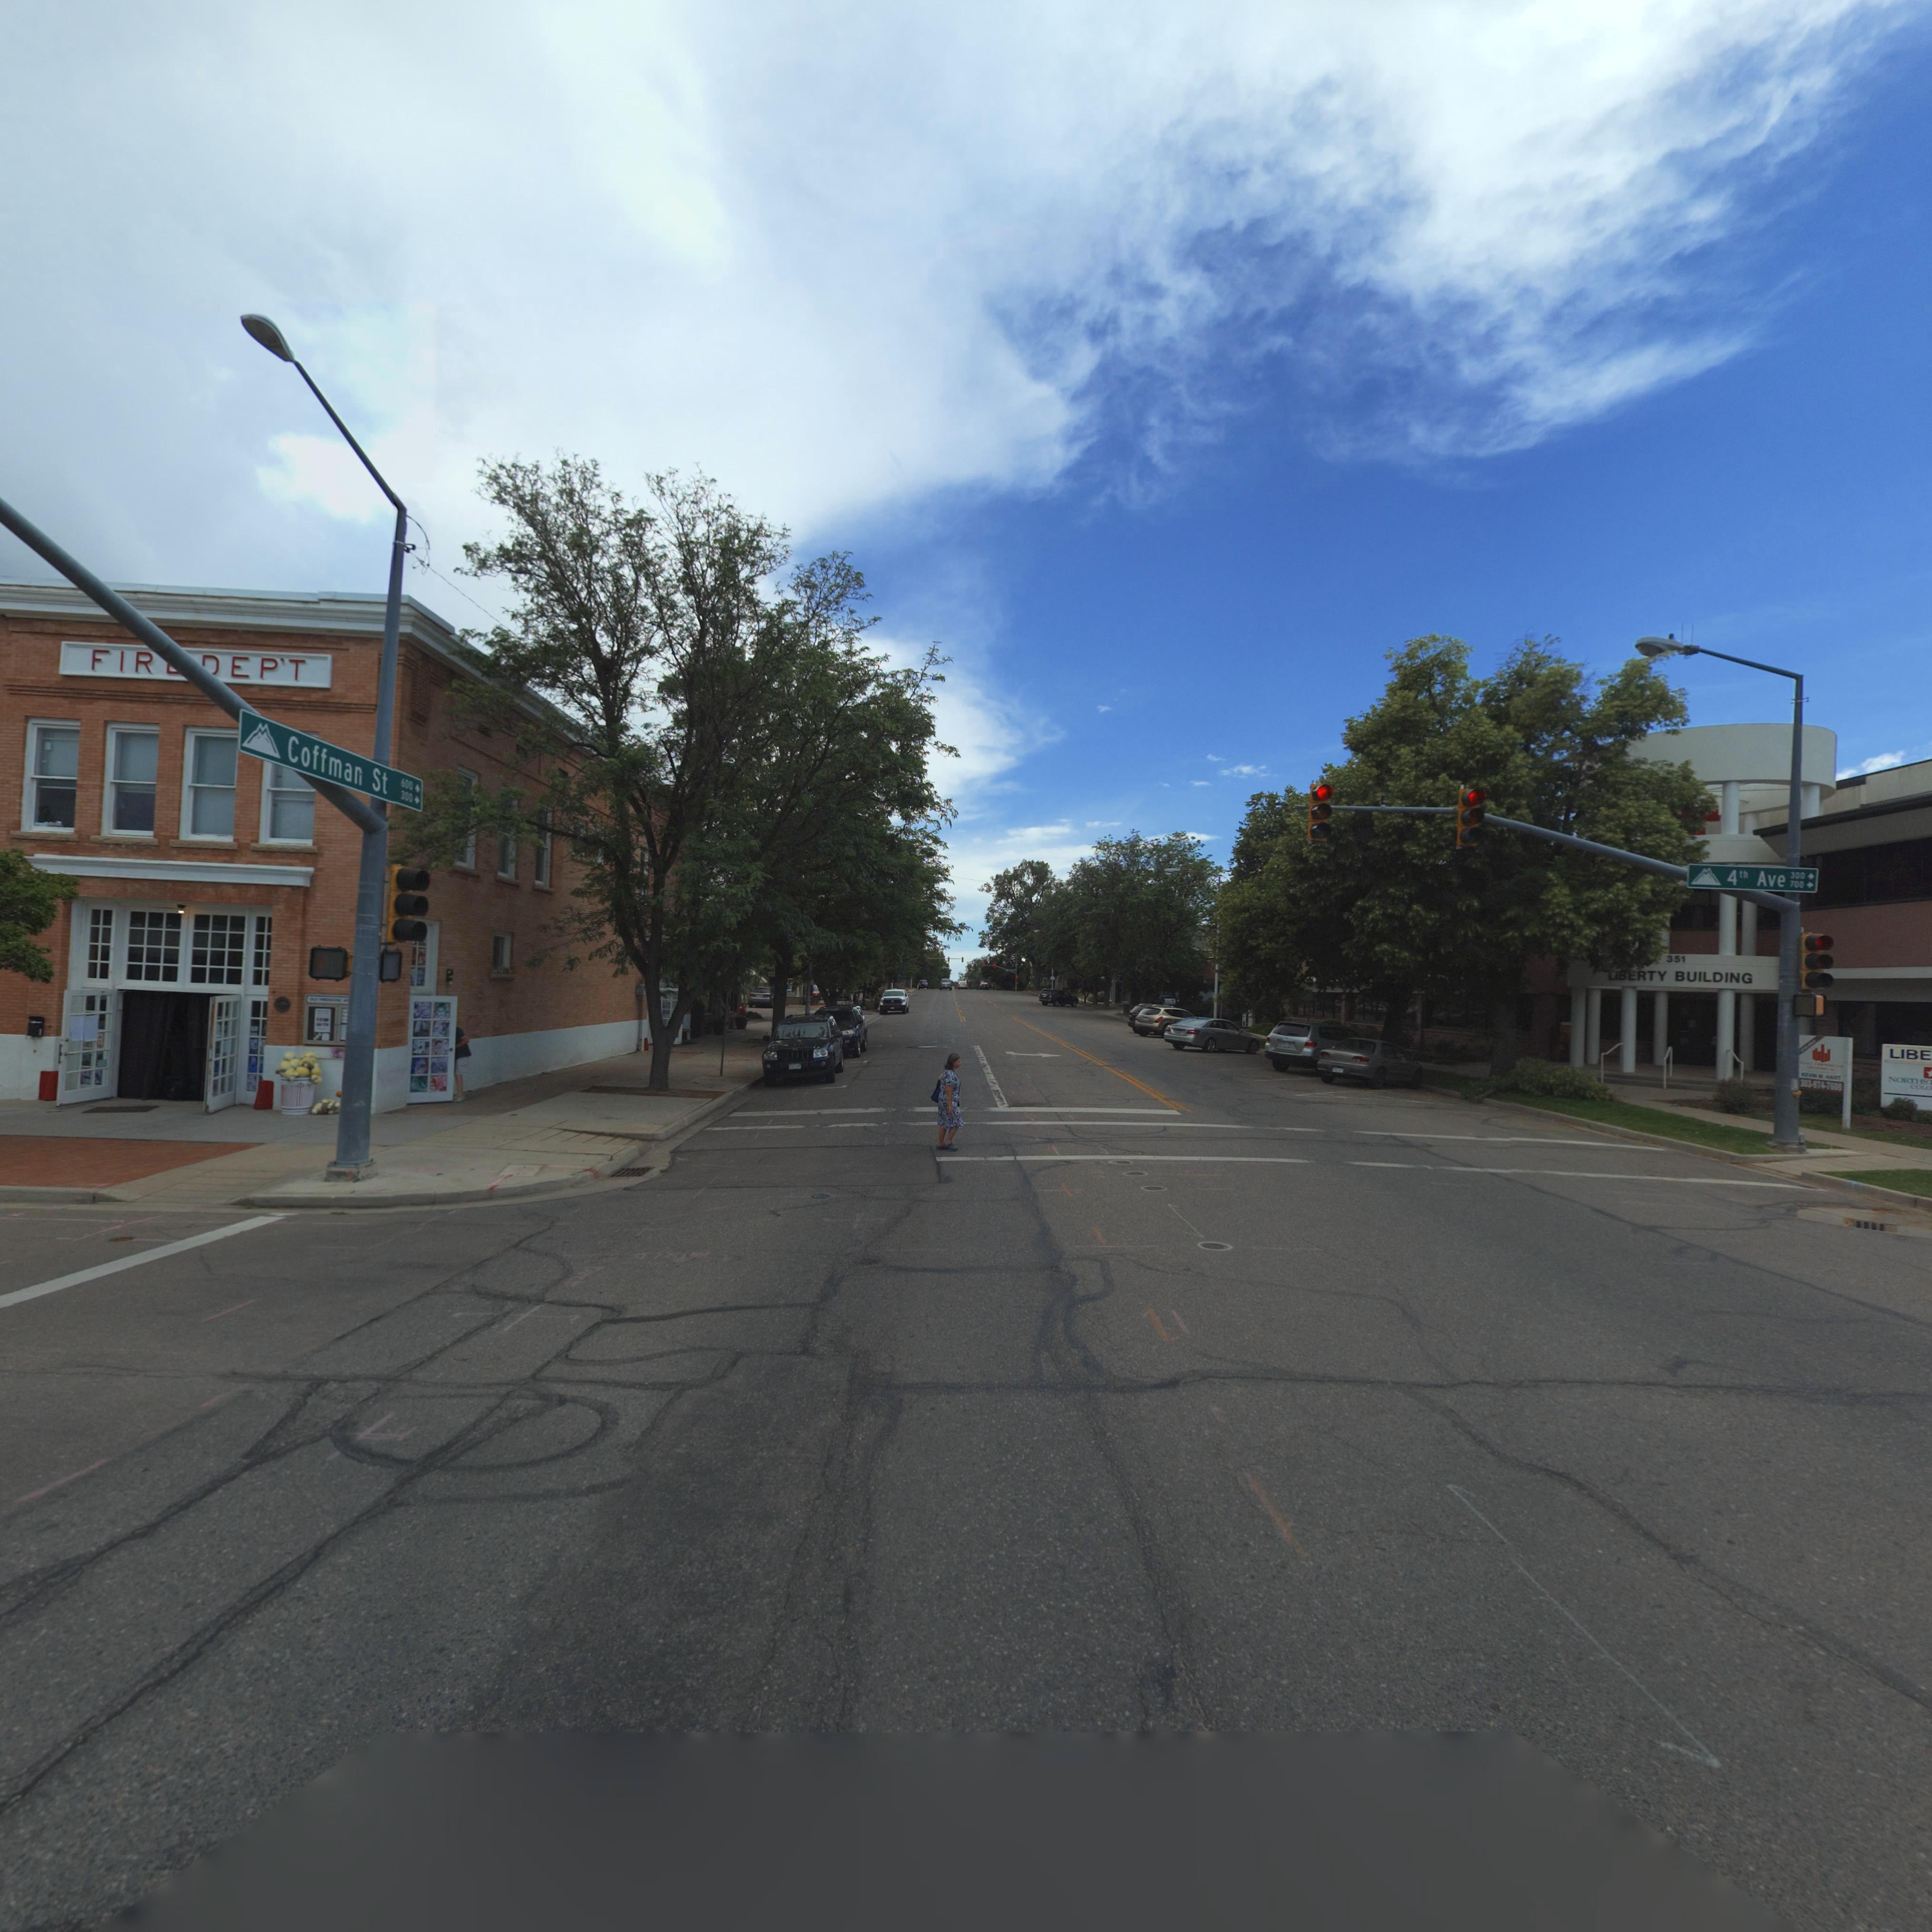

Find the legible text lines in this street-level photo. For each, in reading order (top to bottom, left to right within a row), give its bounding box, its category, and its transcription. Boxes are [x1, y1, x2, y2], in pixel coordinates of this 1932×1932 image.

[288, 736, 387, 794] StreetName: Coffman St
[401, 778, 413, 791] StreetNumber: 600
[400, 790, 420, 804] StreetNumberRange: 300 ->
[1727, 869, 1785, 888] StreetName: 4th Ave
[1790, 872, 1805, 879] StreetNumber: 300
[1789, 881, 1814, 888] StreetNumberRange: 700 ->
[1666, 955, 1685, 962] StreetNumber: 351
[1888, 1076, 1928, 1084] BusinessName: NOR**
[1910, 1084, 1931, 1090] BusinessName: COW